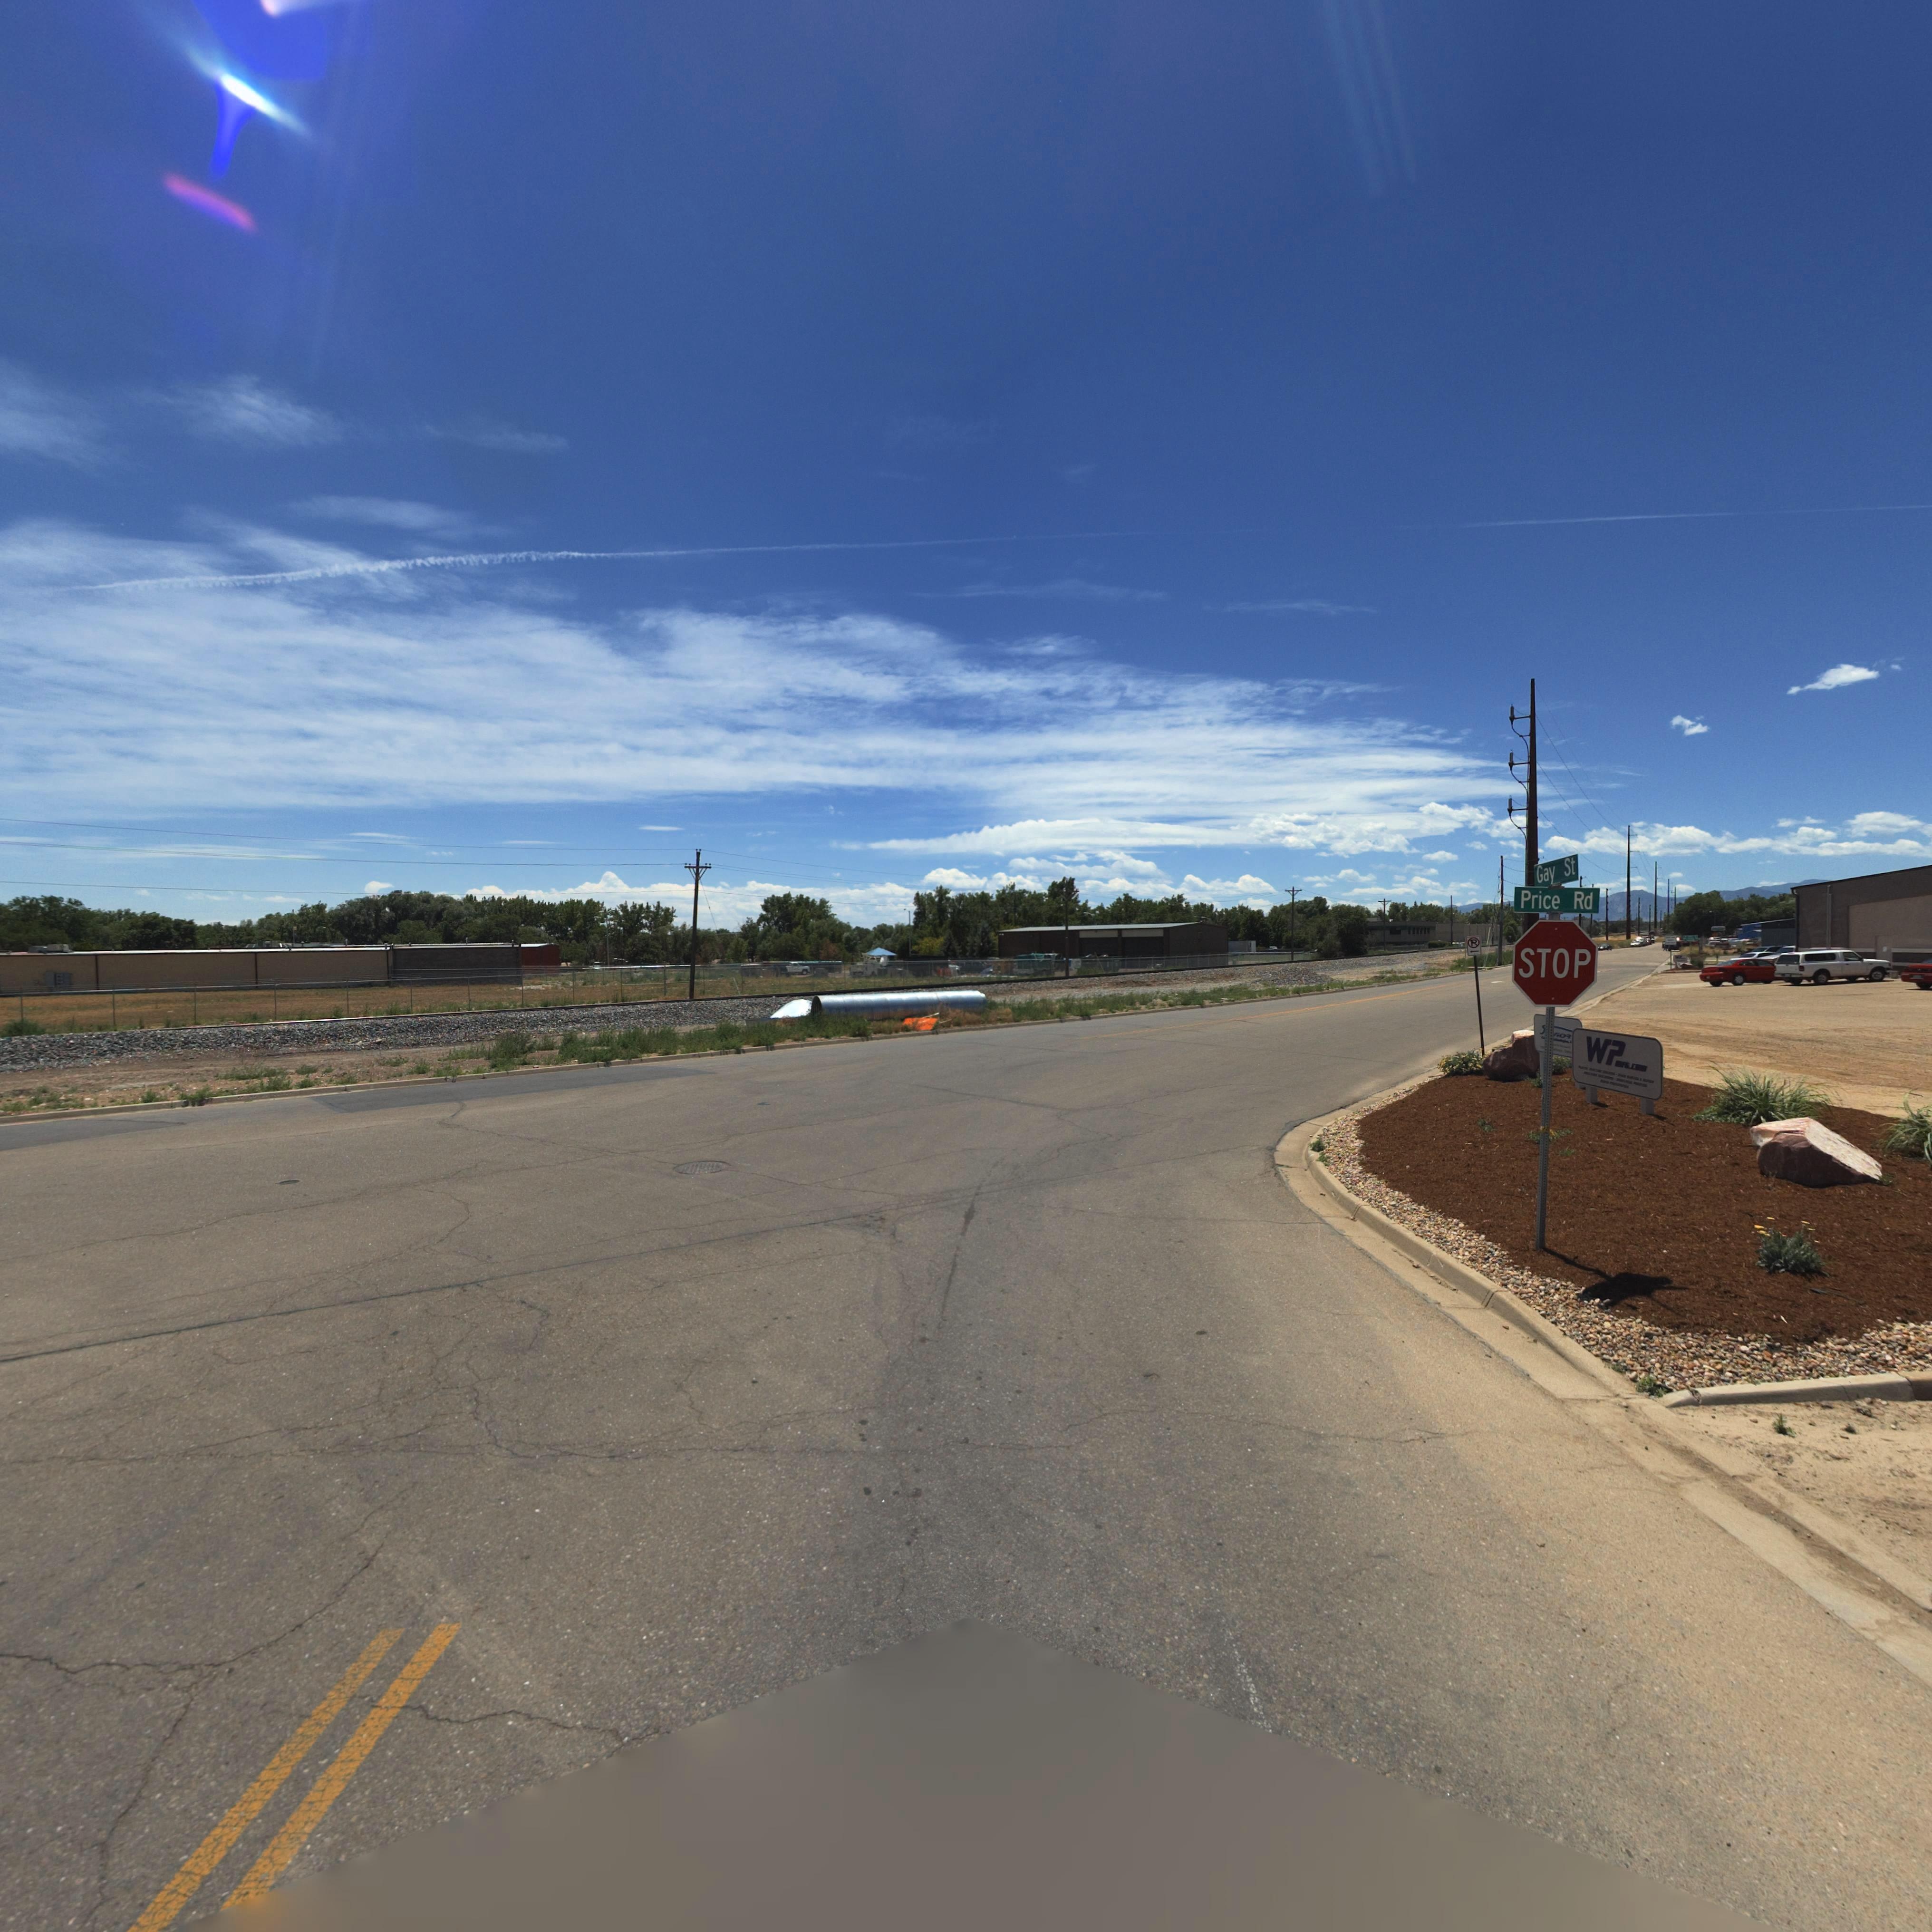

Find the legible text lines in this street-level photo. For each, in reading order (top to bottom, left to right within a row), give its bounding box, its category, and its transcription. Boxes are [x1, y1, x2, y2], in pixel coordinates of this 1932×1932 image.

[1536, 857, 1575, 885] StreetName: Gay St
[1521, 890, 1593, 909] StreetName: Price Rd